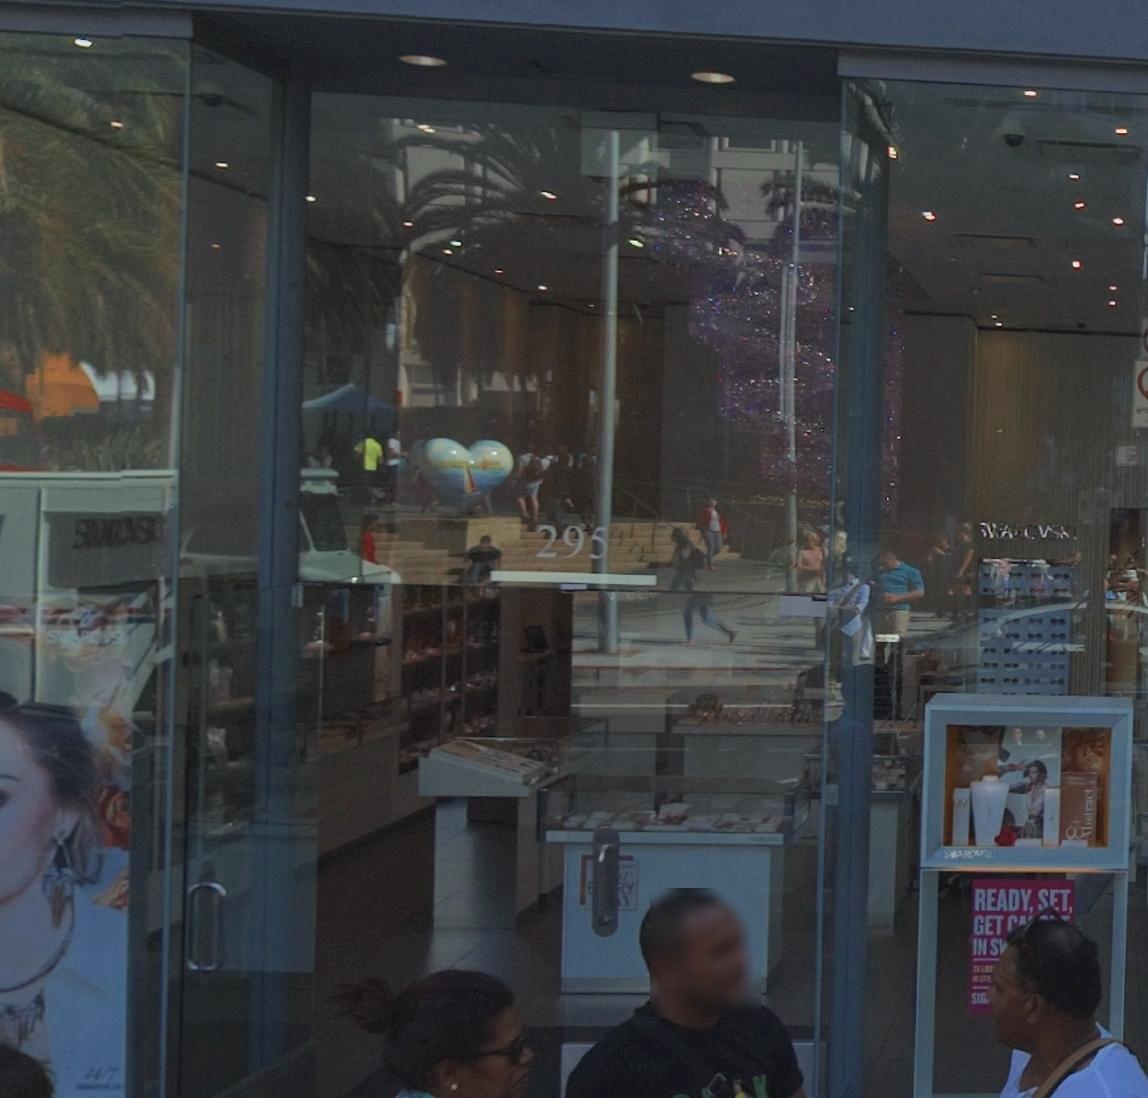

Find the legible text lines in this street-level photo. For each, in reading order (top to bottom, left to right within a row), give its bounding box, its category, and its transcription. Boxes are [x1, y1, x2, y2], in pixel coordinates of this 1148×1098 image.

[532, 520, 609, 563] StreetNumber: 295
[624, 881, 637, 894] None: Y
[973, 887, 1074, 914] None: READY, SET,
[972, 912, 1005, 936] None: GET
[971, 937, 999, 957] None: IN S
[971, 991, 987, 1005] None: SIG